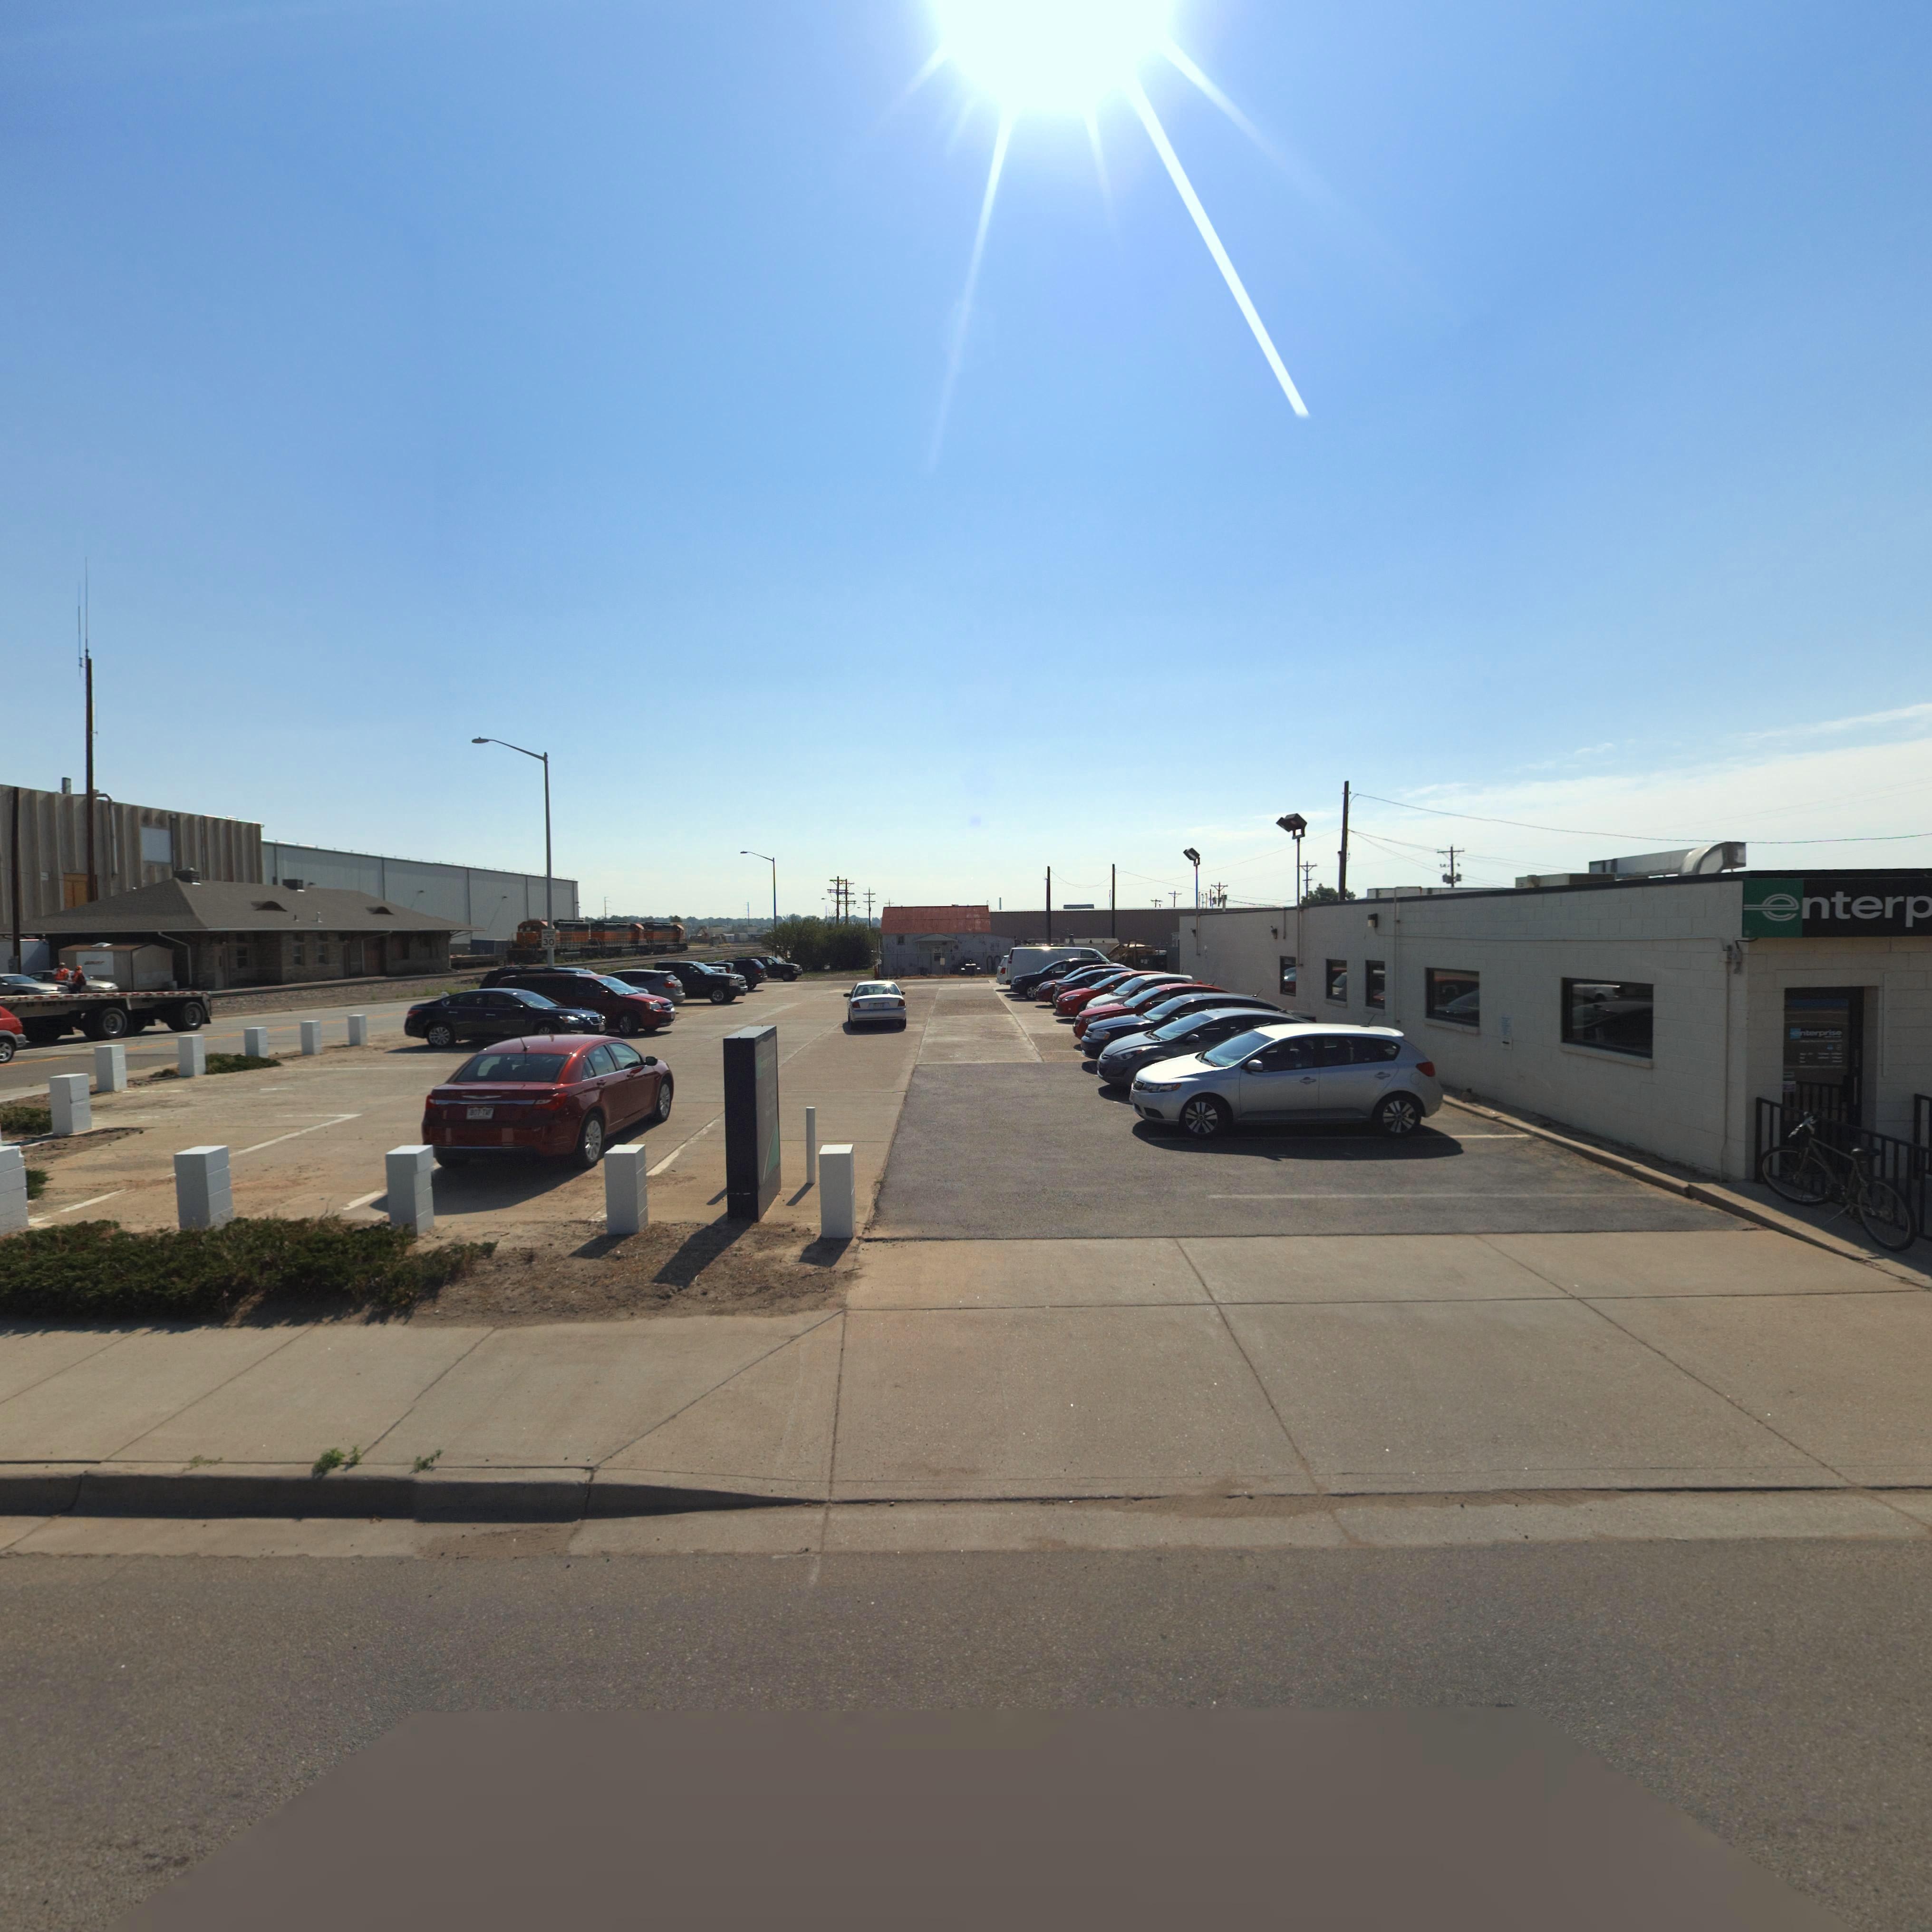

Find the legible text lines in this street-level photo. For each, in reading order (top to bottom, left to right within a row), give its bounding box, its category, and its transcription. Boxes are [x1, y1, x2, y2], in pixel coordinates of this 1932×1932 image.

[1742, 890, 1905, 922] BusinessName: enter
[1792, 1030, 1843, 1037] BusinessName: enterprise
[761, 1053, 776, 1068] BusinessName: terp**se